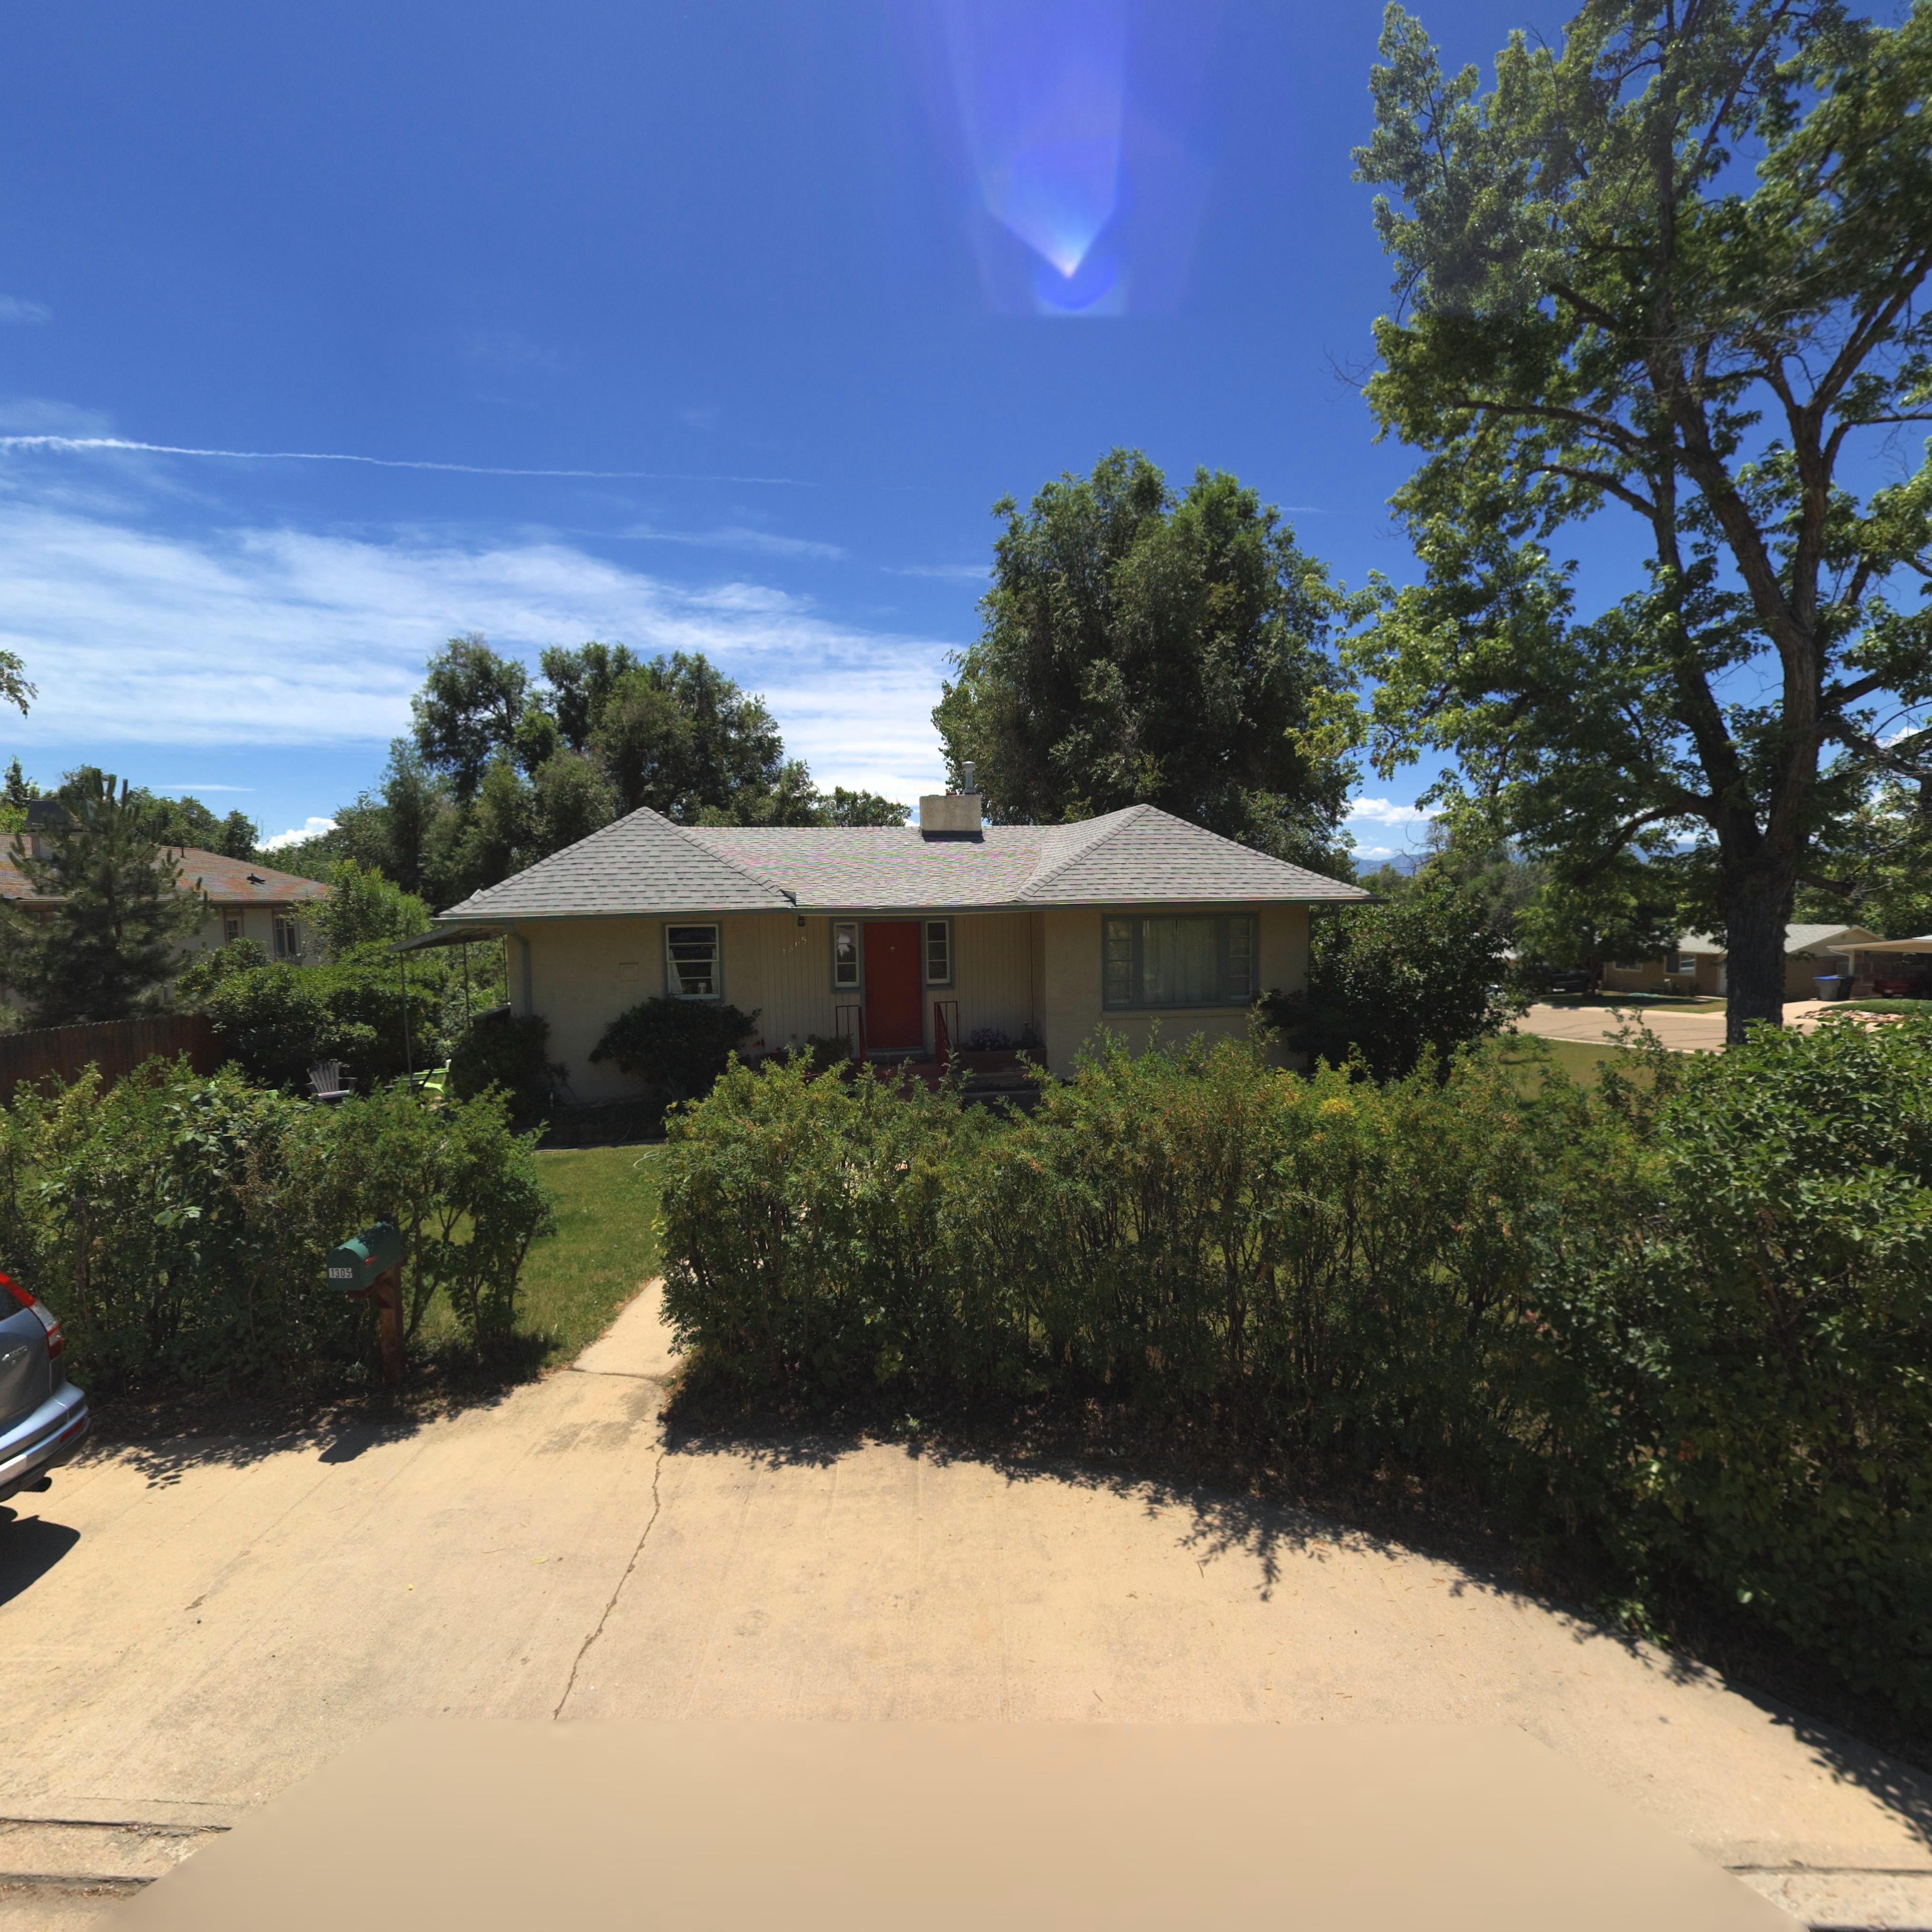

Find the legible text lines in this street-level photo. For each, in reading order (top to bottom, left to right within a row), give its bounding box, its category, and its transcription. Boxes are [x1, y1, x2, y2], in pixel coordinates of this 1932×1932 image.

[782, 936, 806, 956] StreetNumber: 1305
[330, 1268, 350, 1277] StreetNumber: 1305